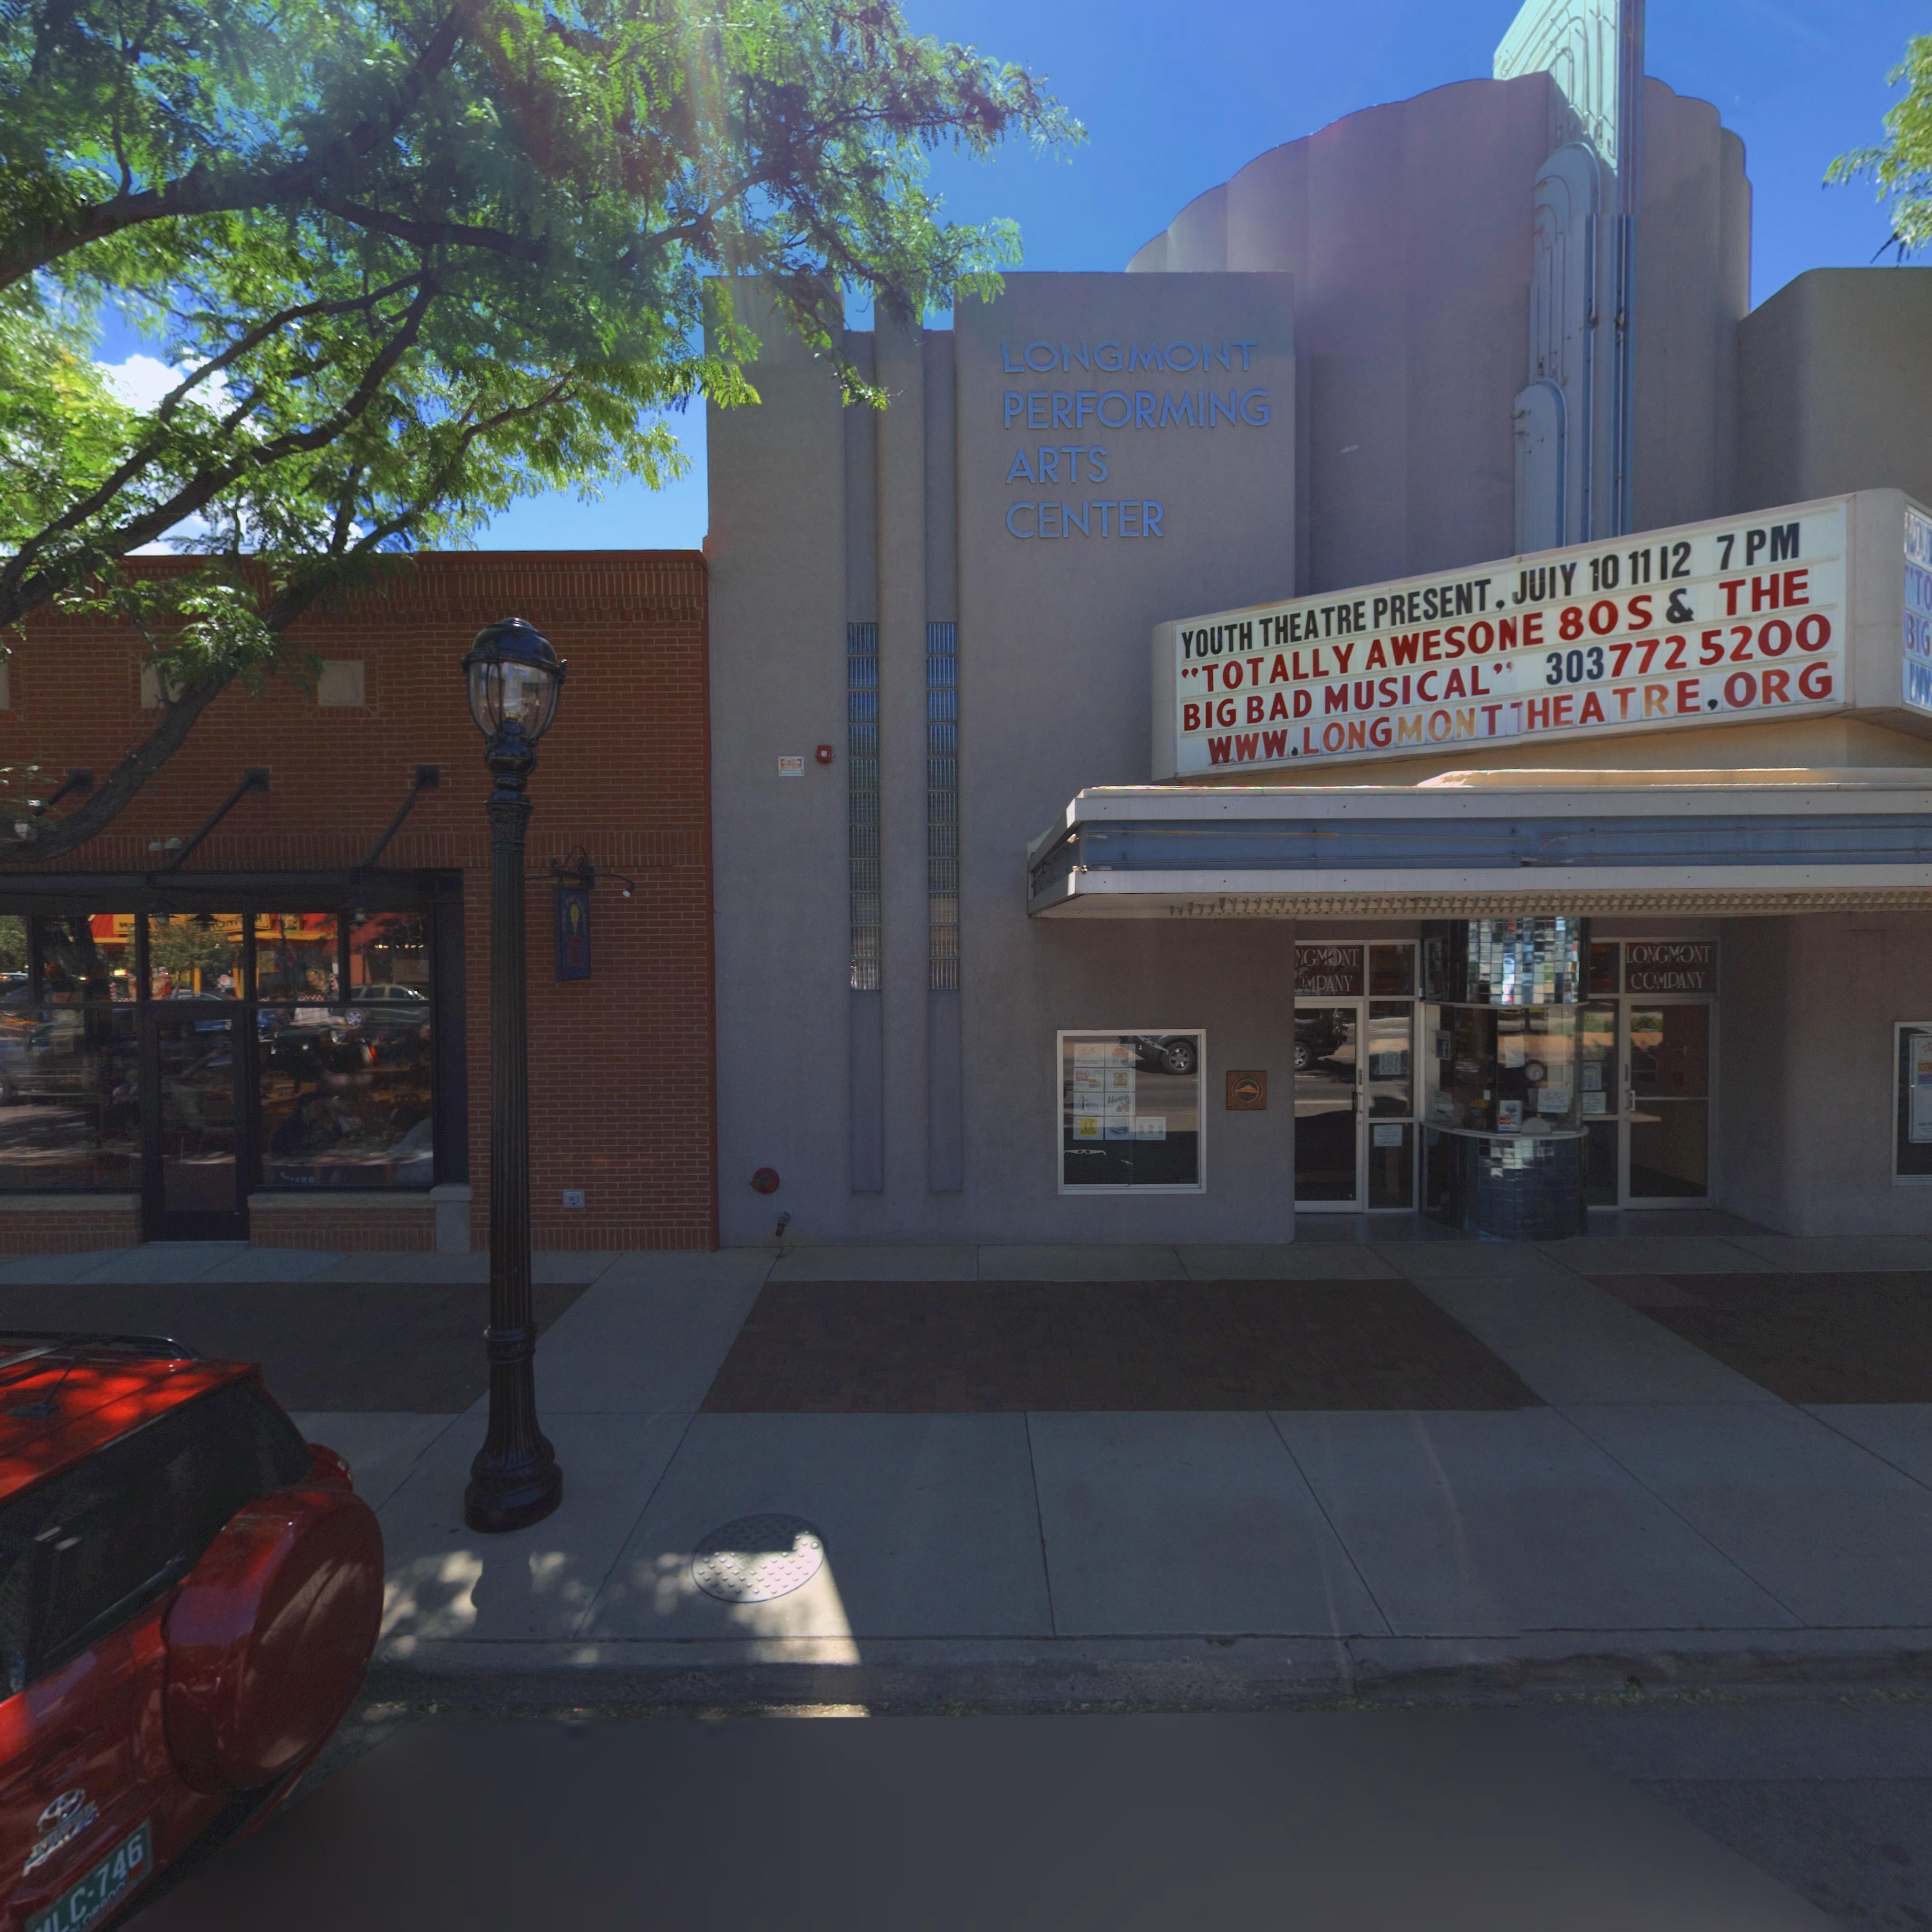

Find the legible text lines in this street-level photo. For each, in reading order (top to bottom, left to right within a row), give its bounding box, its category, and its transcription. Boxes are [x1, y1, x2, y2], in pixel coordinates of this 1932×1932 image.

[1000, 339, 1258, 373] BusinessName: LONGMONT
[1004, 387, 1270, 428] BusinessName: PERFORMING
[1004, 444, 1109, 484] BusinessName: ARTS
[1005, 499, 1165, 538] BusinessName: CENTER
[1295, 948, 1360, 966] BusinessName: NG**NT
[1626, 945, 1712, 963] BusinessName: LONGMONT
[1295, 975, 1353, 992] BusinessName: ***ANY
[1630, 971, 1706, 989] BusinessName: COMPANY